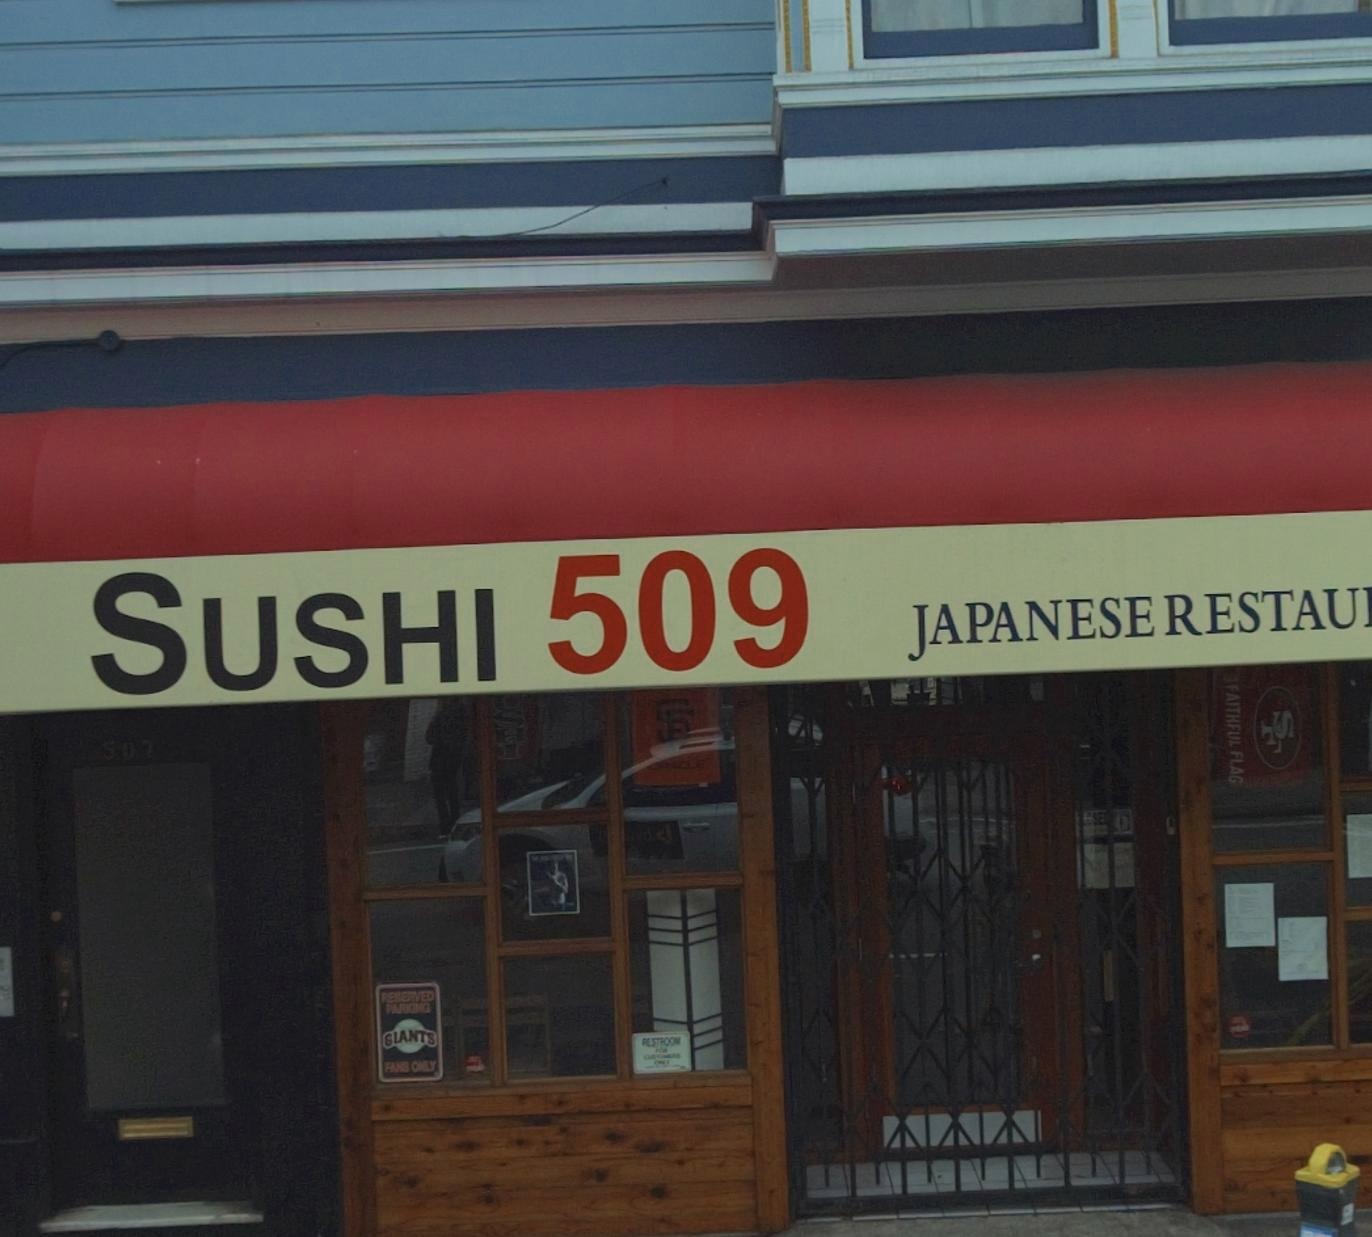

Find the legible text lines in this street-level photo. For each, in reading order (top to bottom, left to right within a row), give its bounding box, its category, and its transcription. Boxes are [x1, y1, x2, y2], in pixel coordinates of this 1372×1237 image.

[84, 562, 506, 703] BusinessName: SUSHI
[541, 541, 815, 683] BusinessName: 509
[900, 582, 1365, 668] None: JAPANESE RESTAU
[1222, 682, 1247, 786] None: FAITHFUL FLAG
[379, 988, 437, 1004] None: RESERVED
[384, 1001, 433, 1016] None: PARKING
[380, 1025, 440, 1054] None: GIANTS
[381, 1057, 439, 1075] None: FANS ONLY